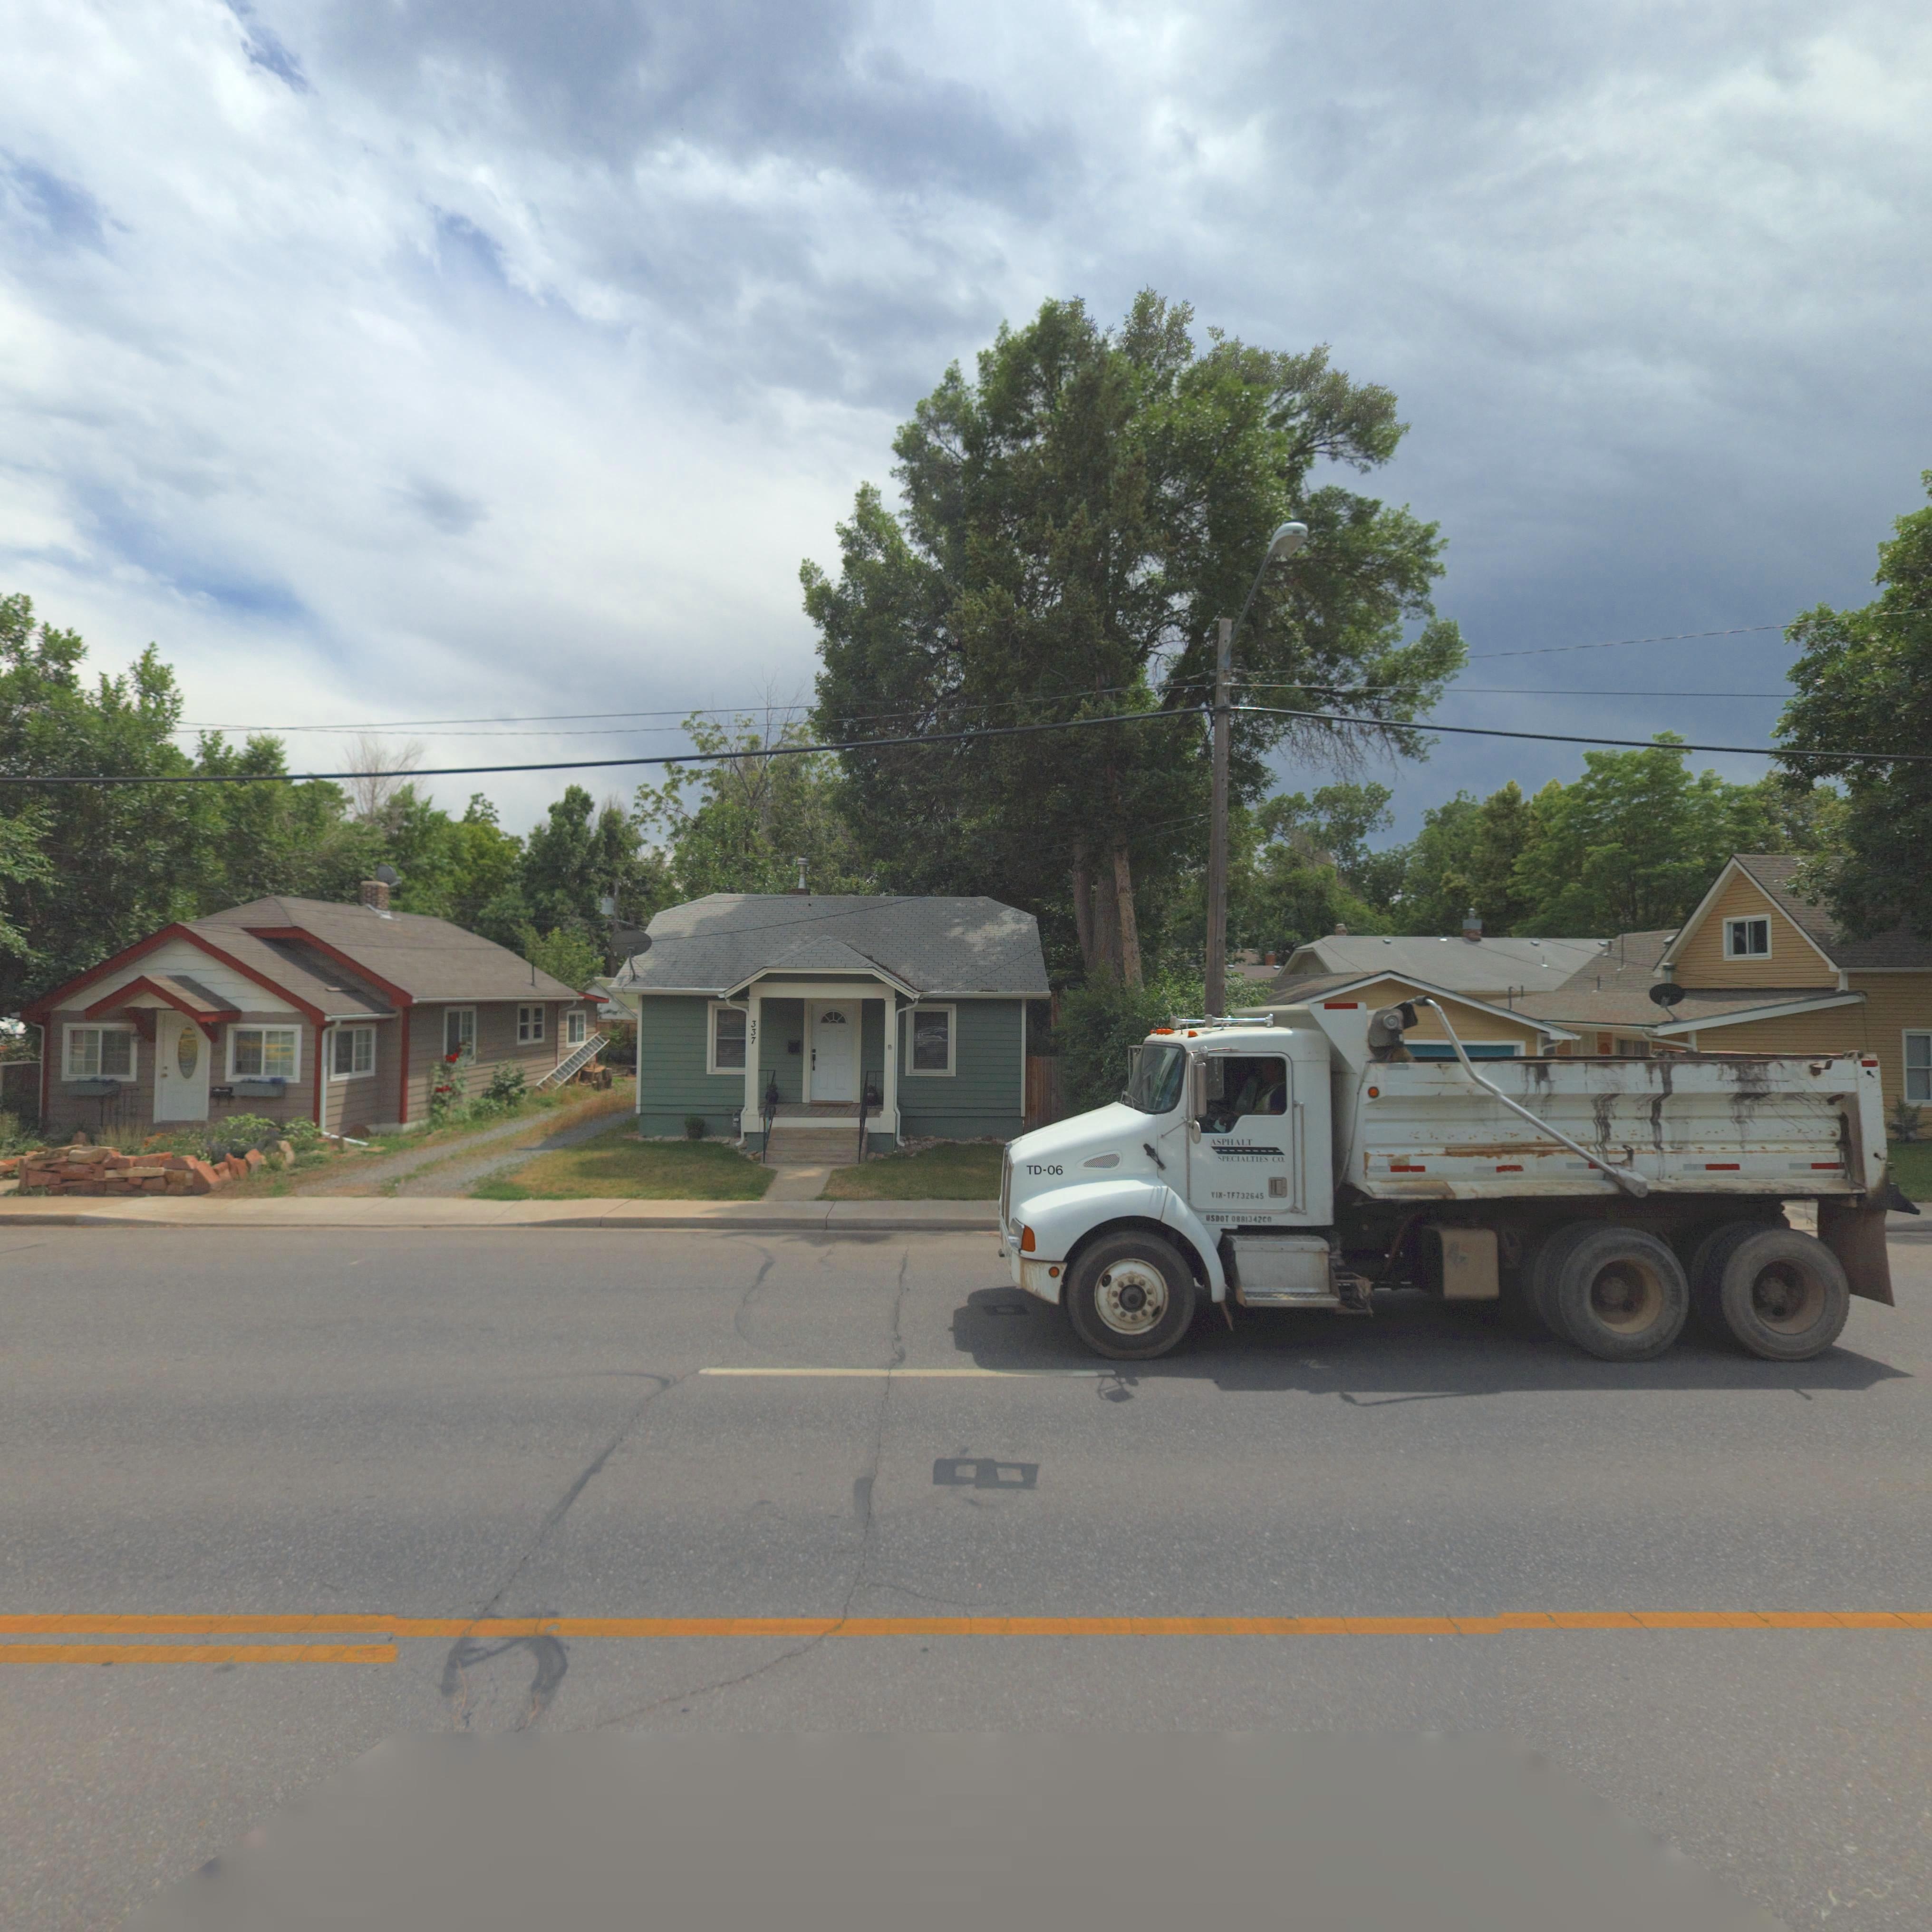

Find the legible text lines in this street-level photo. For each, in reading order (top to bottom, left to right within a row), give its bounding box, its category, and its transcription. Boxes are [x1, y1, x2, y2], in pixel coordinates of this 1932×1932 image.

[750, 1020, 756, 1044] StreetNumber: 337